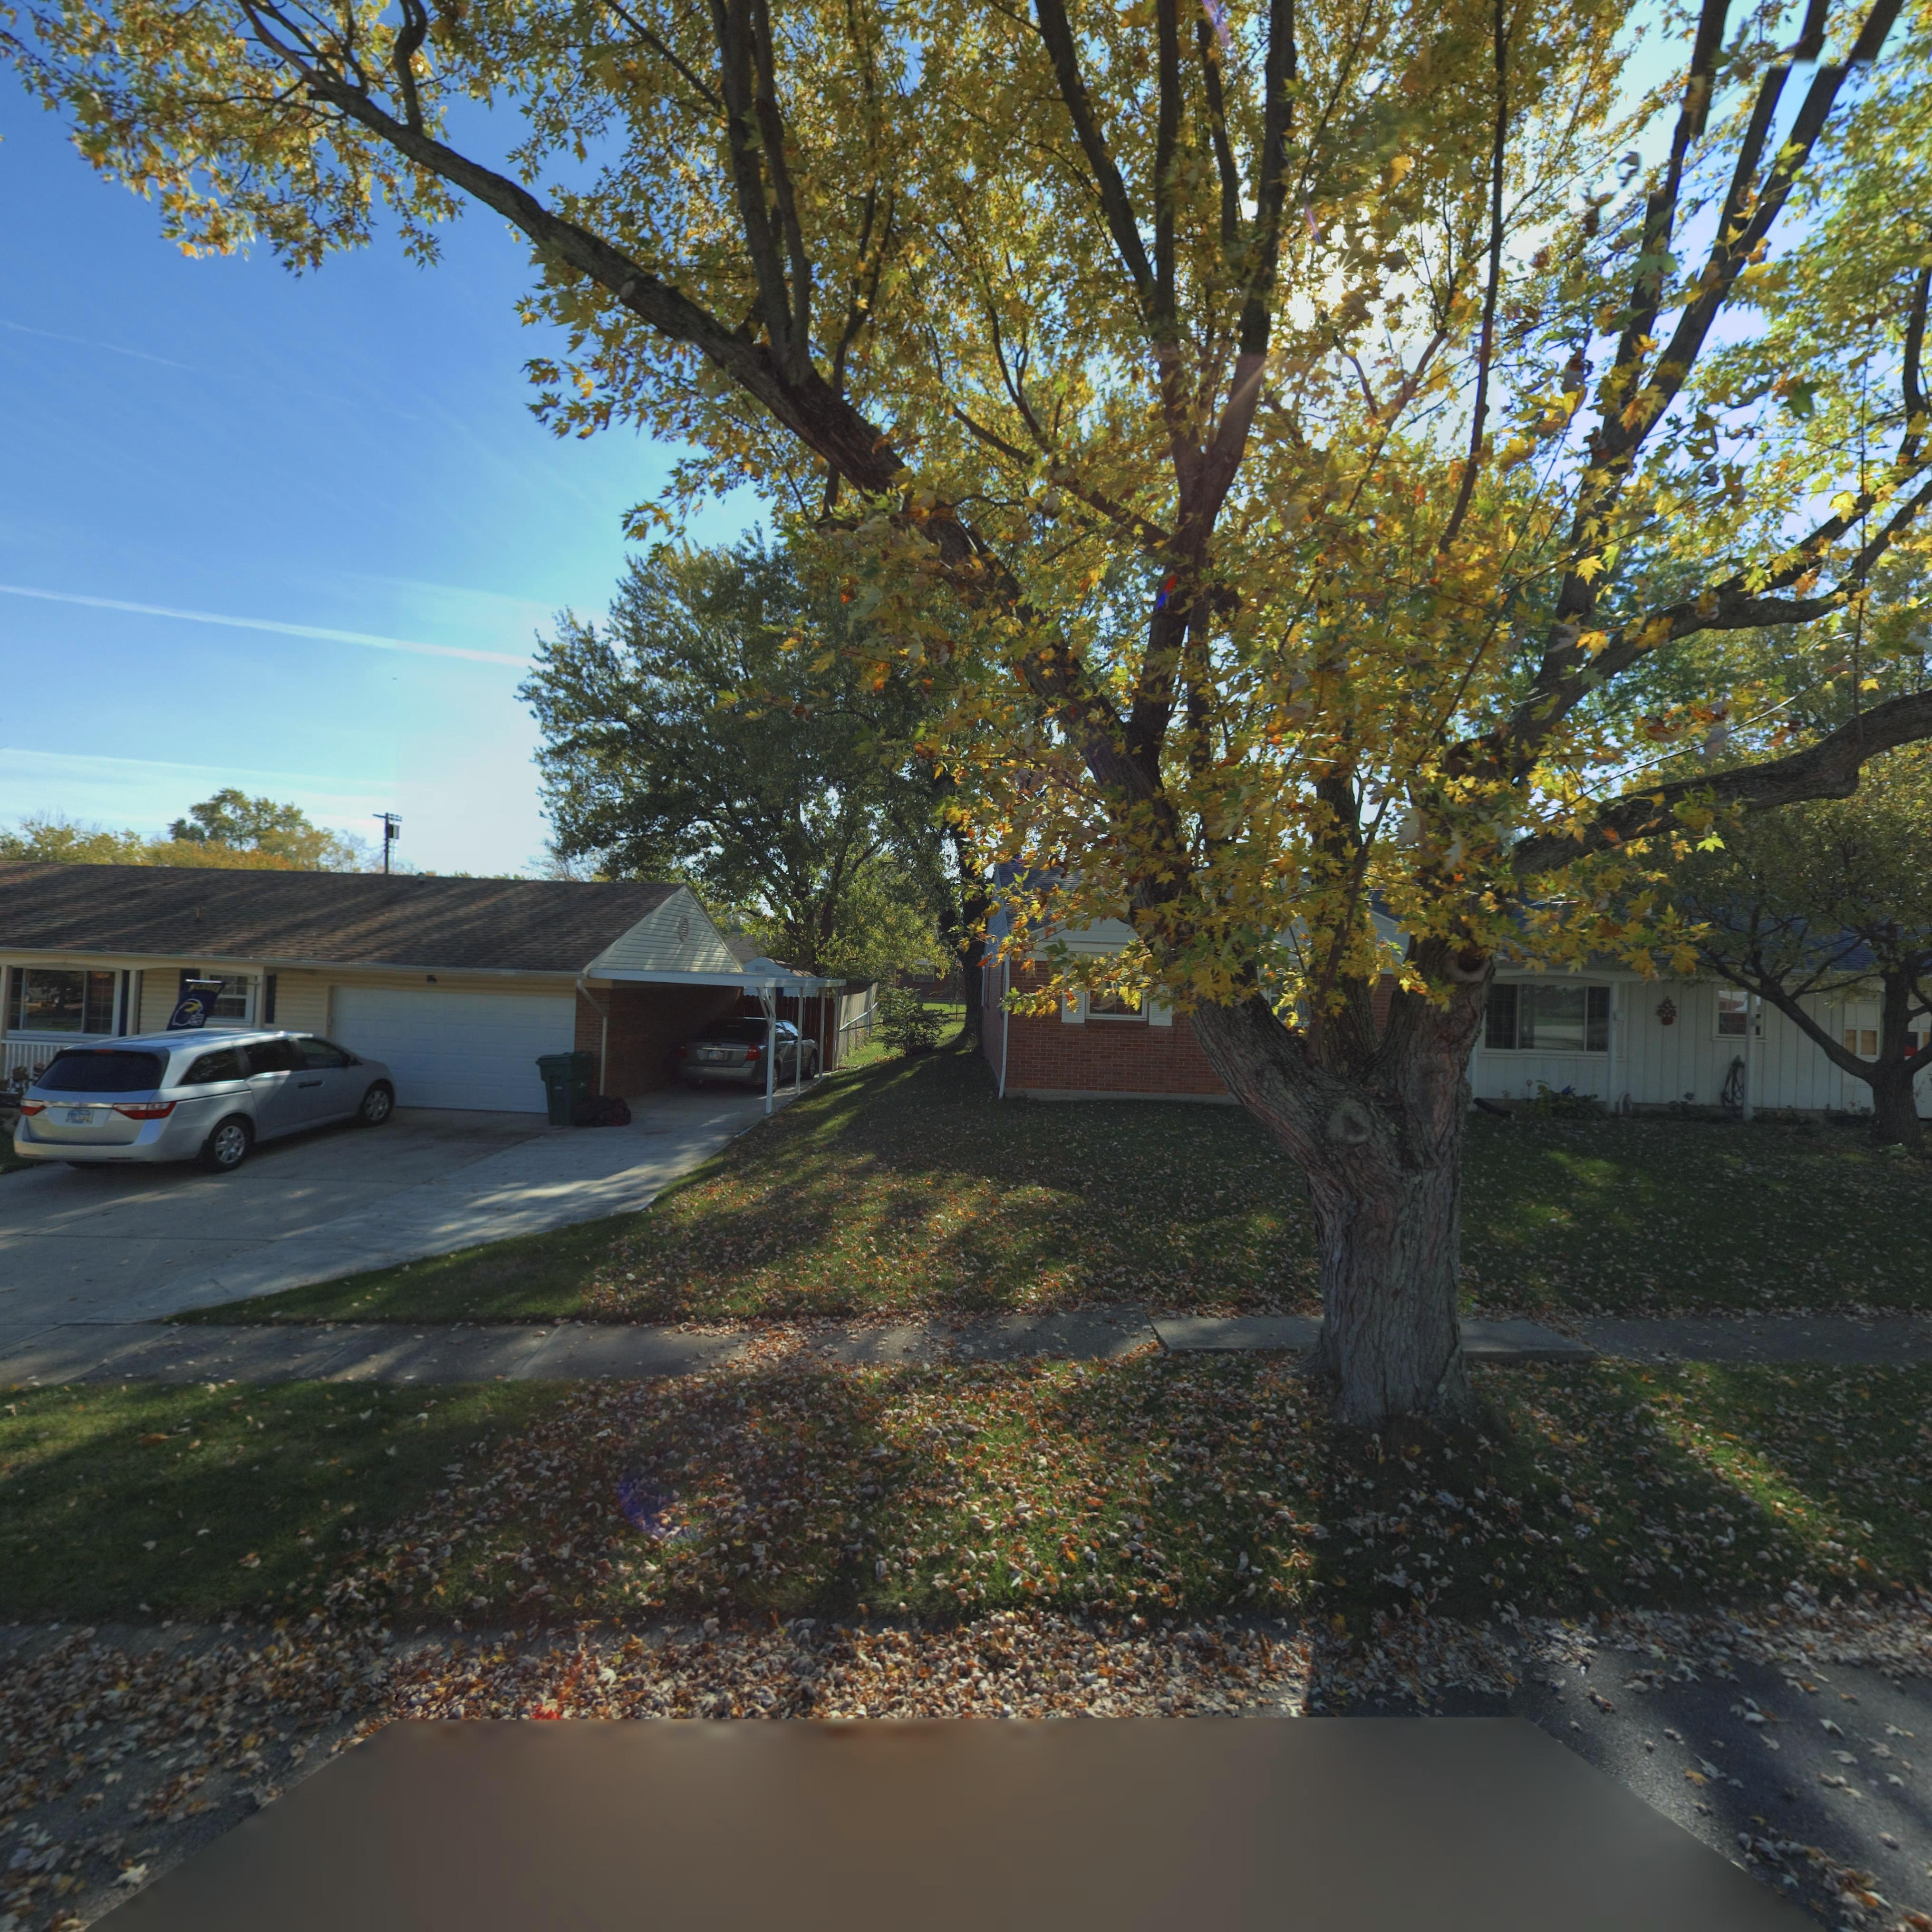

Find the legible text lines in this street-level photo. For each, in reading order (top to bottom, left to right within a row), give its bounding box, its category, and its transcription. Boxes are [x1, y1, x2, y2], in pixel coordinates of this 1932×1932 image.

[67, 1114, 93, 1121] None: ERD 5327